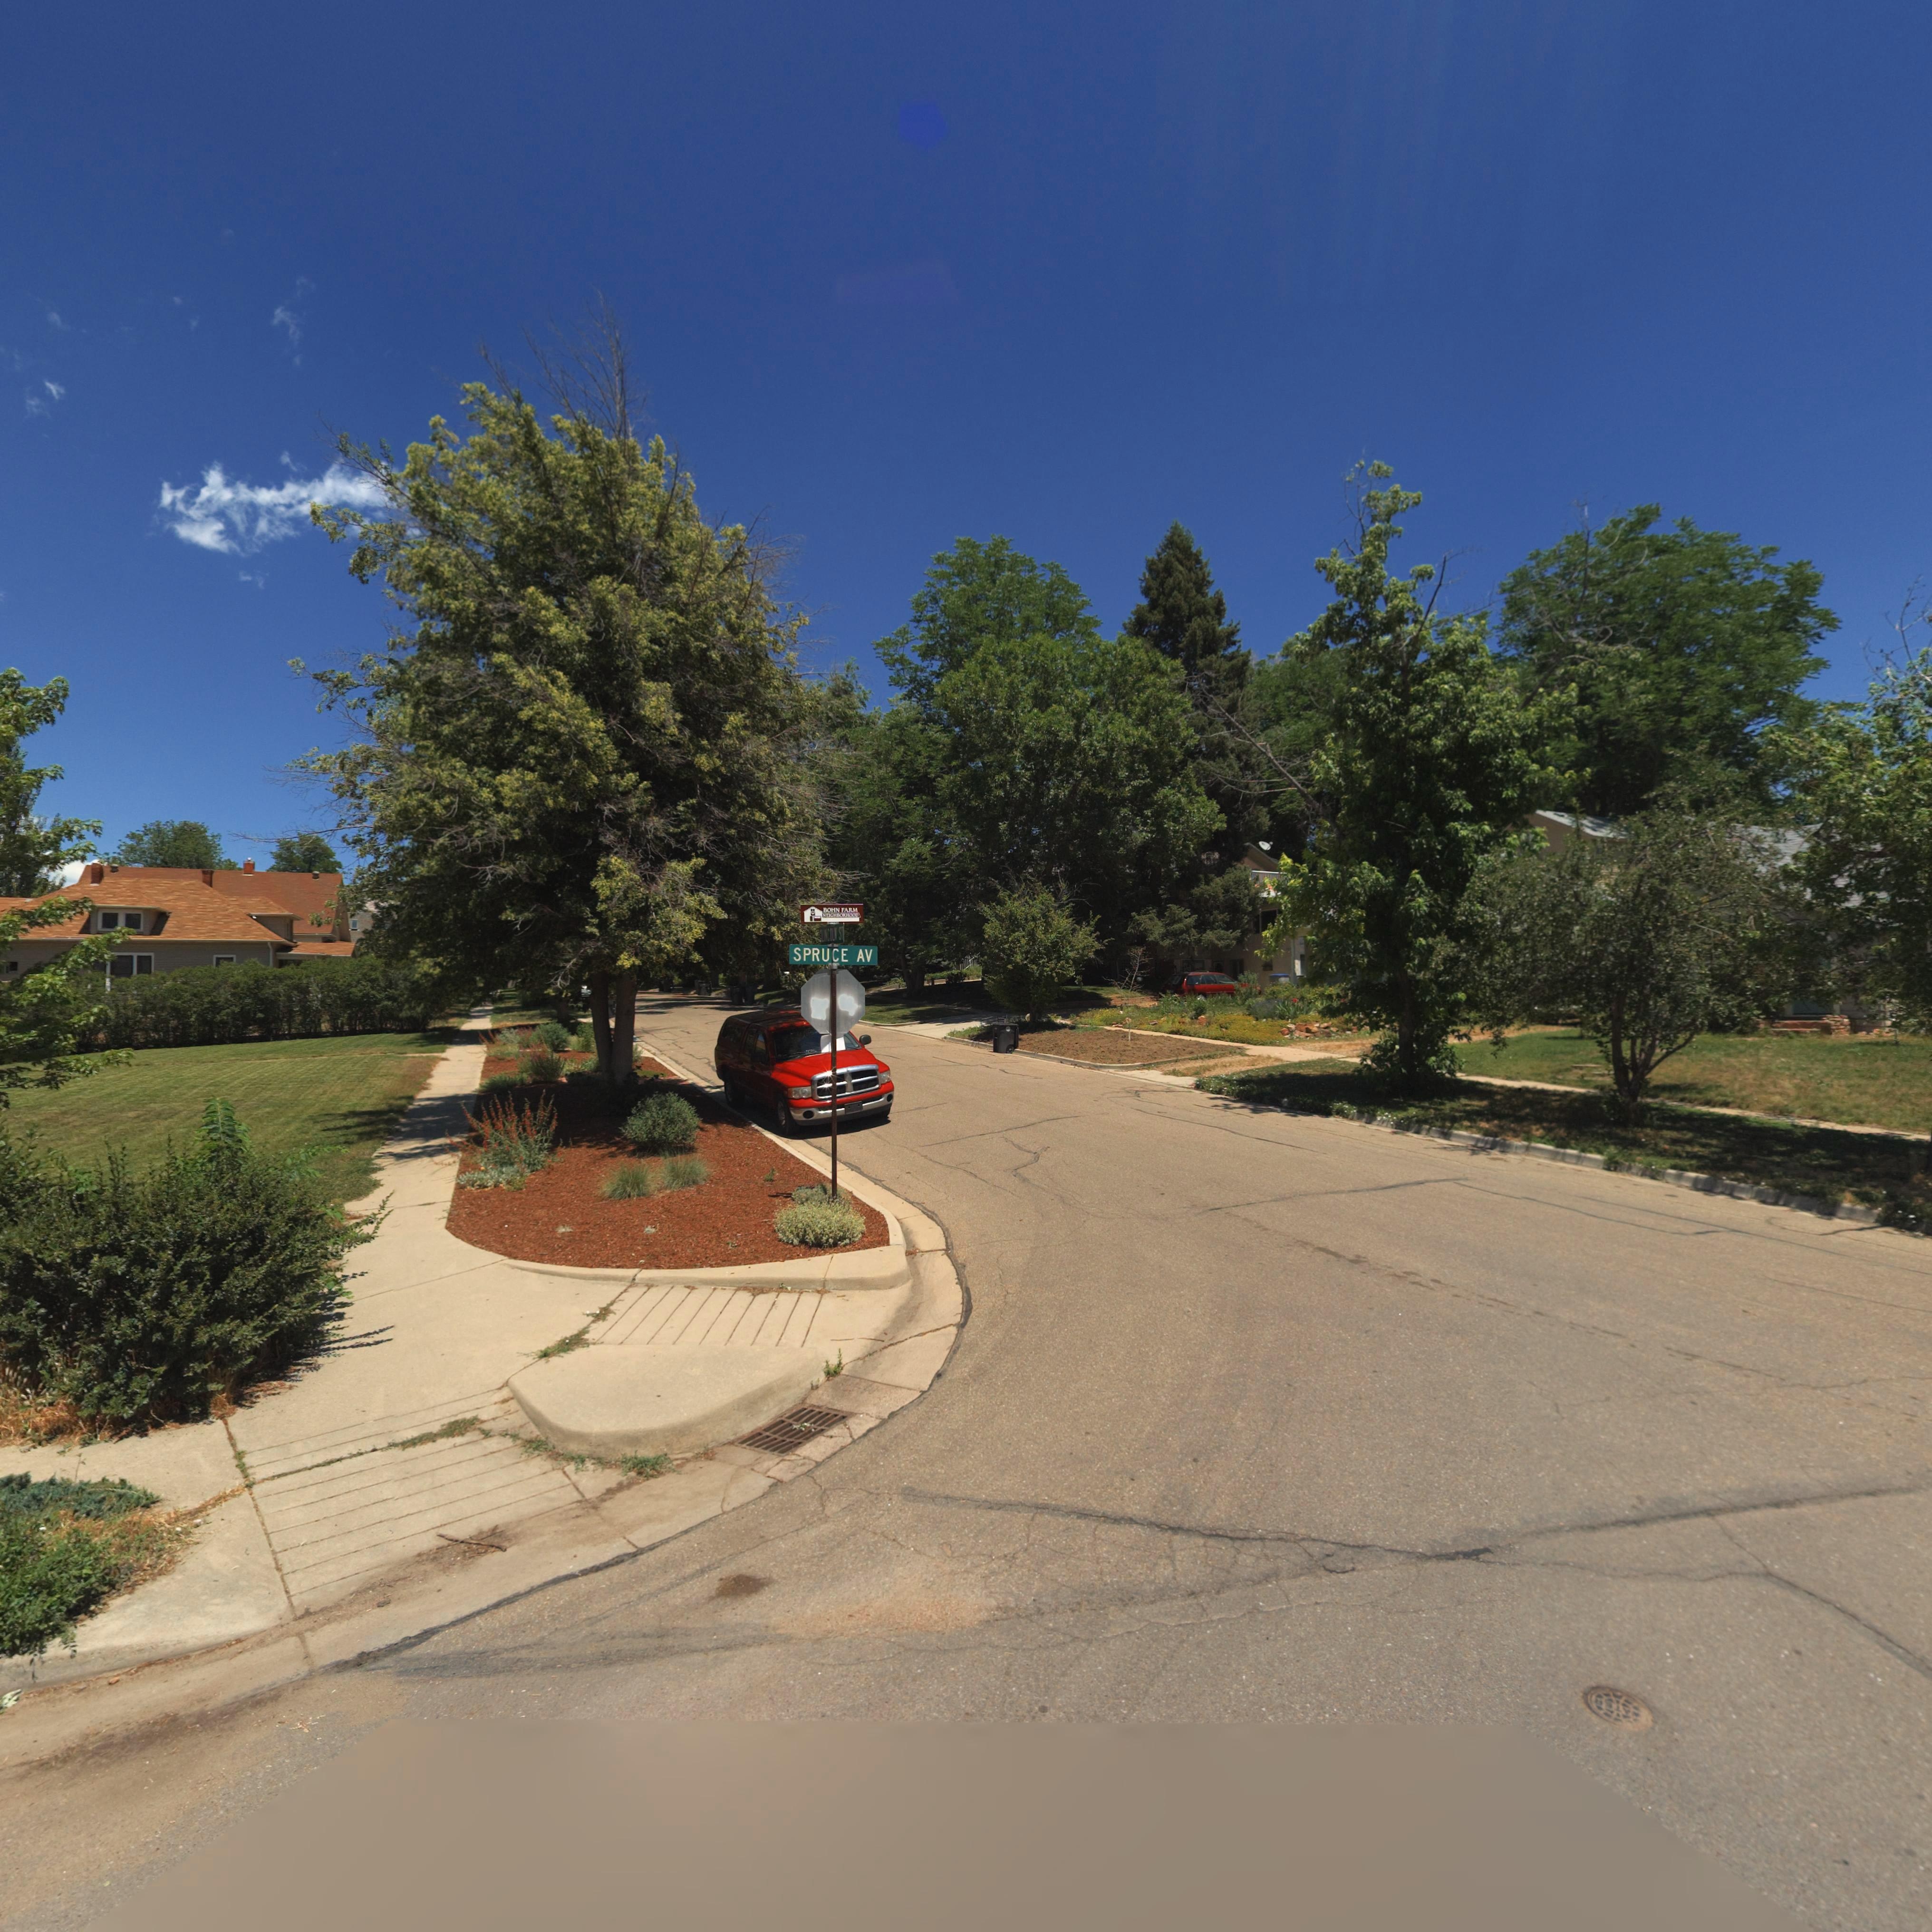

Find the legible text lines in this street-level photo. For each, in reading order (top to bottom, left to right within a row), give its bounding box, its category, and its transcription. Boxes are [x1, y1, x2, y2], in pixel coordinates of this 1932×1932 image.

[793, 947, 873, 963] StreetName: SPRUCE AV